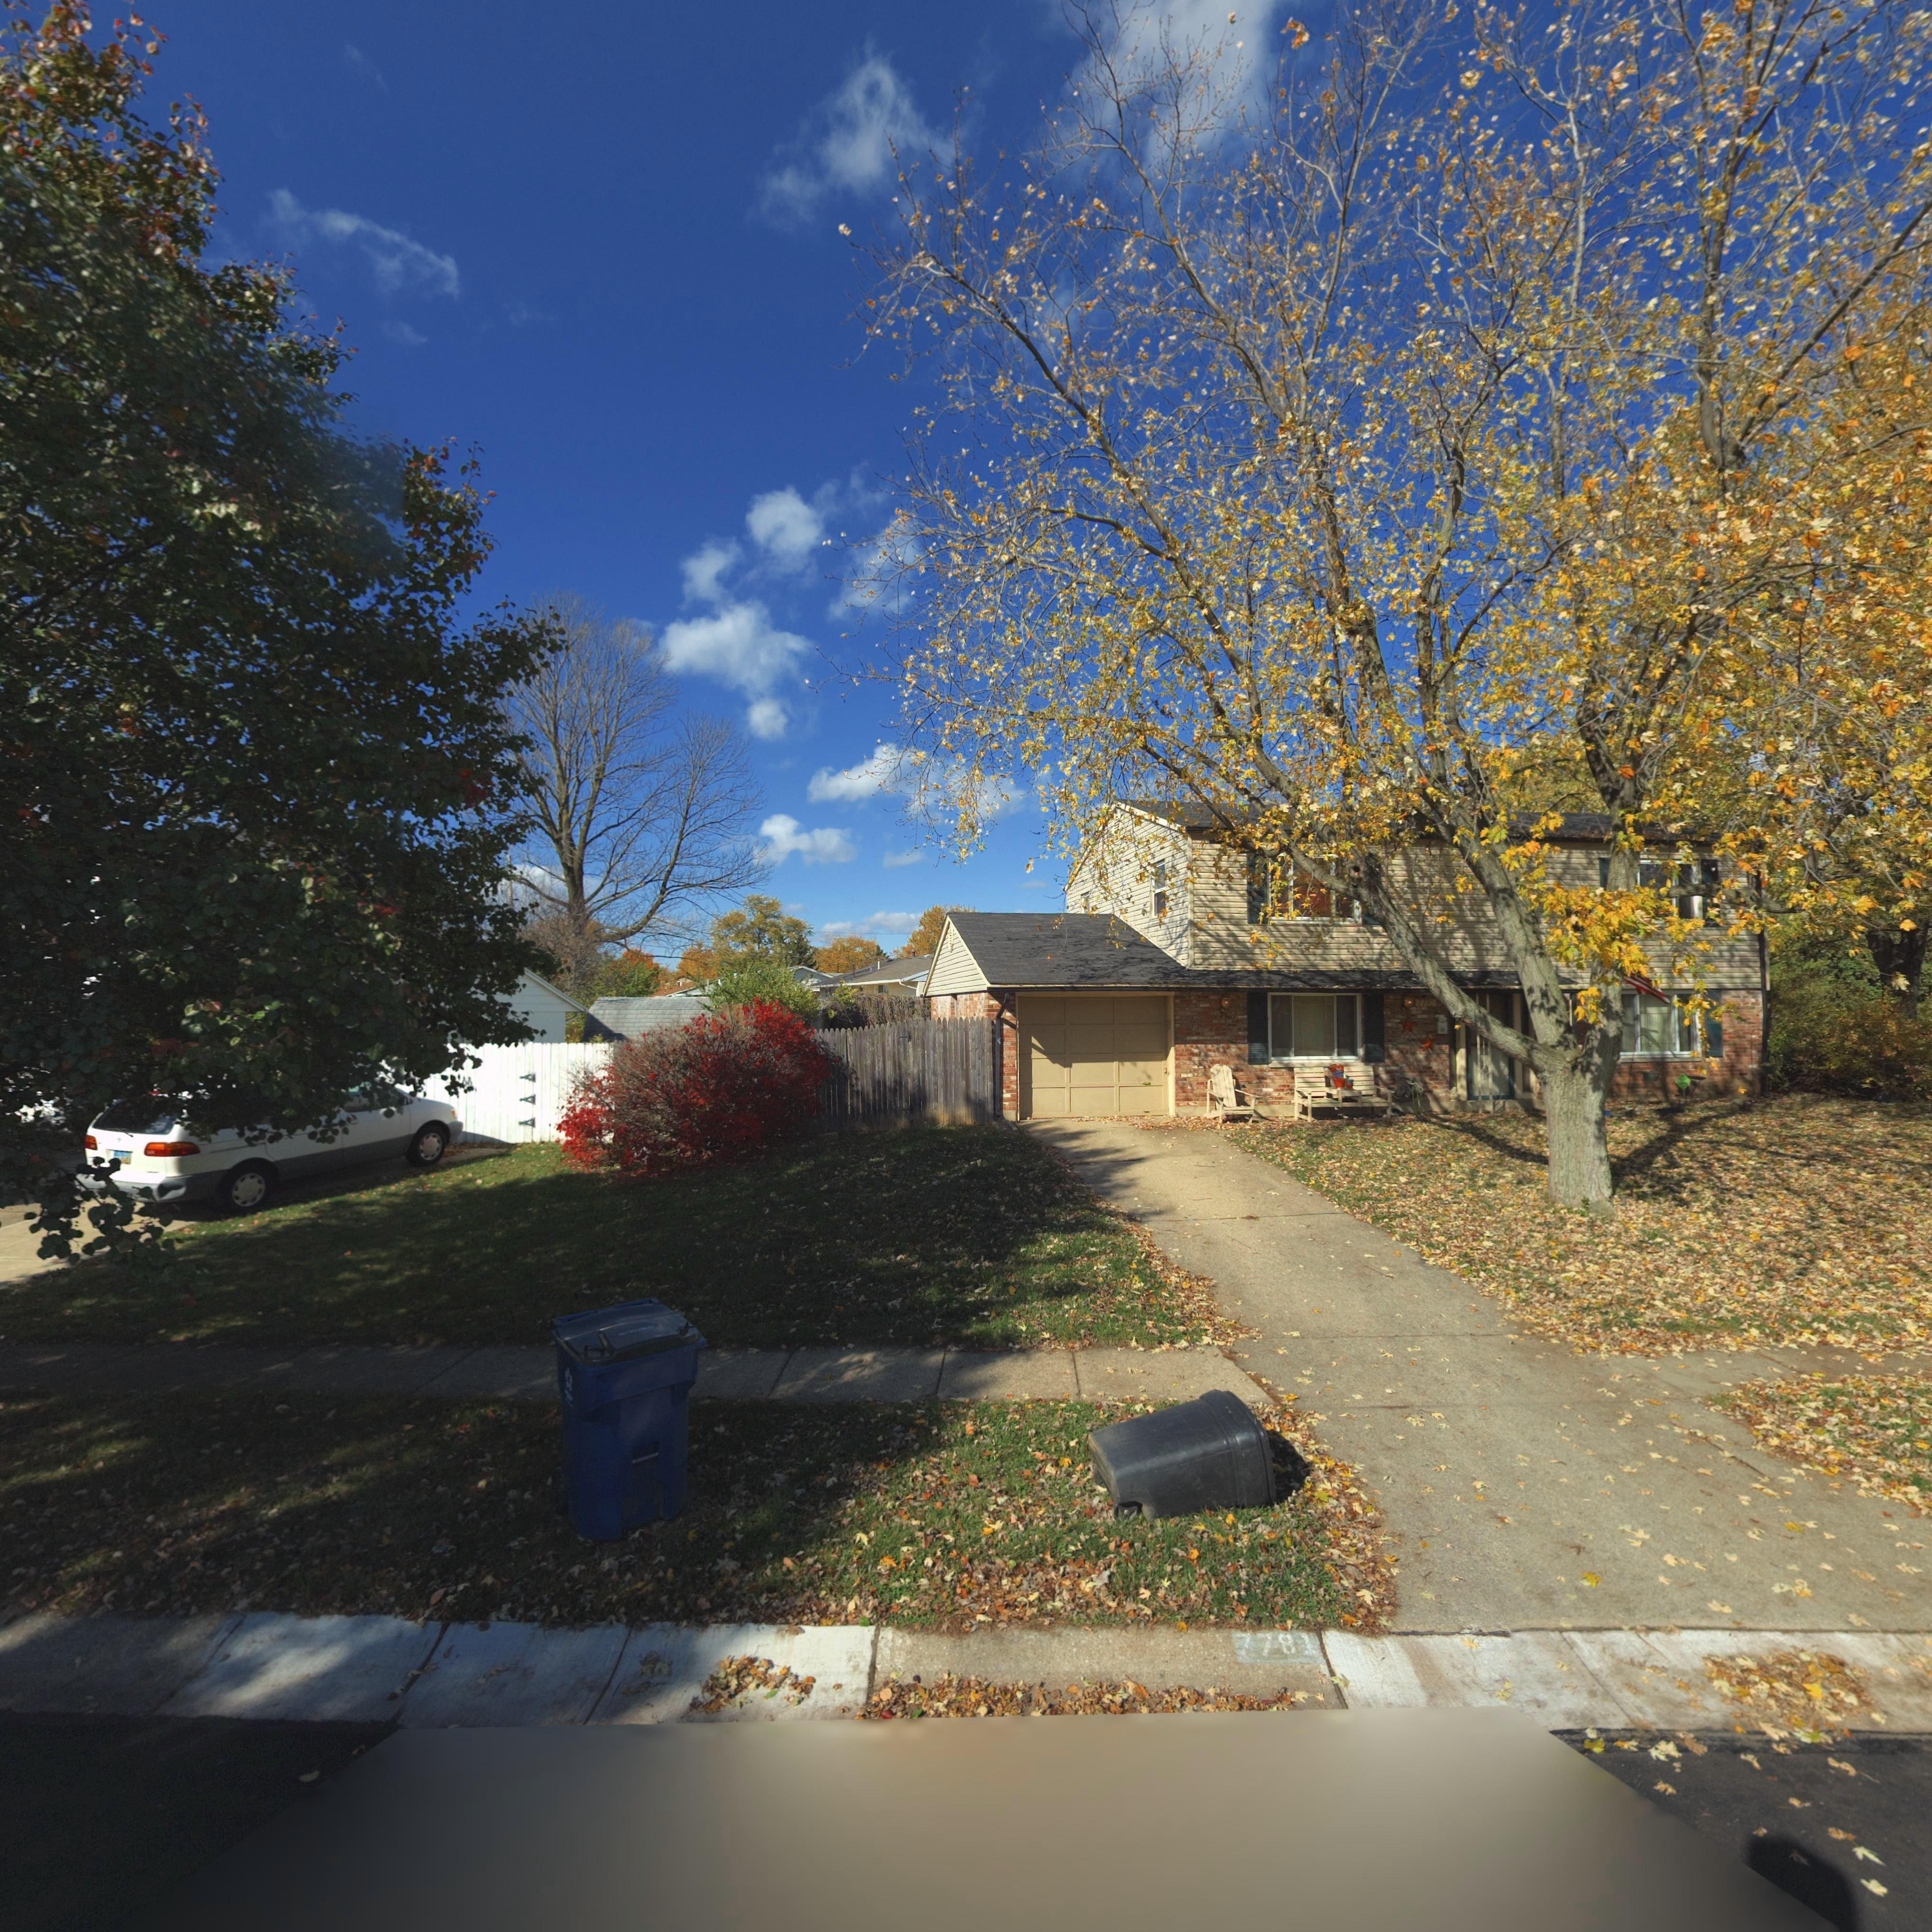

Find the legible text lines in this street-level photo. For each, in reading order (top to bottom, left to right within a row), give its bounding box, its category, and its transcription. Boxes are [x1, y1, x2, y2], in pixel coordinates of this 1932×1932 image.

[1417, 998, 1435, 1007] StreetNumber: 7781
[1229, 1631, 1320, 1661] StreetNumber: 7781